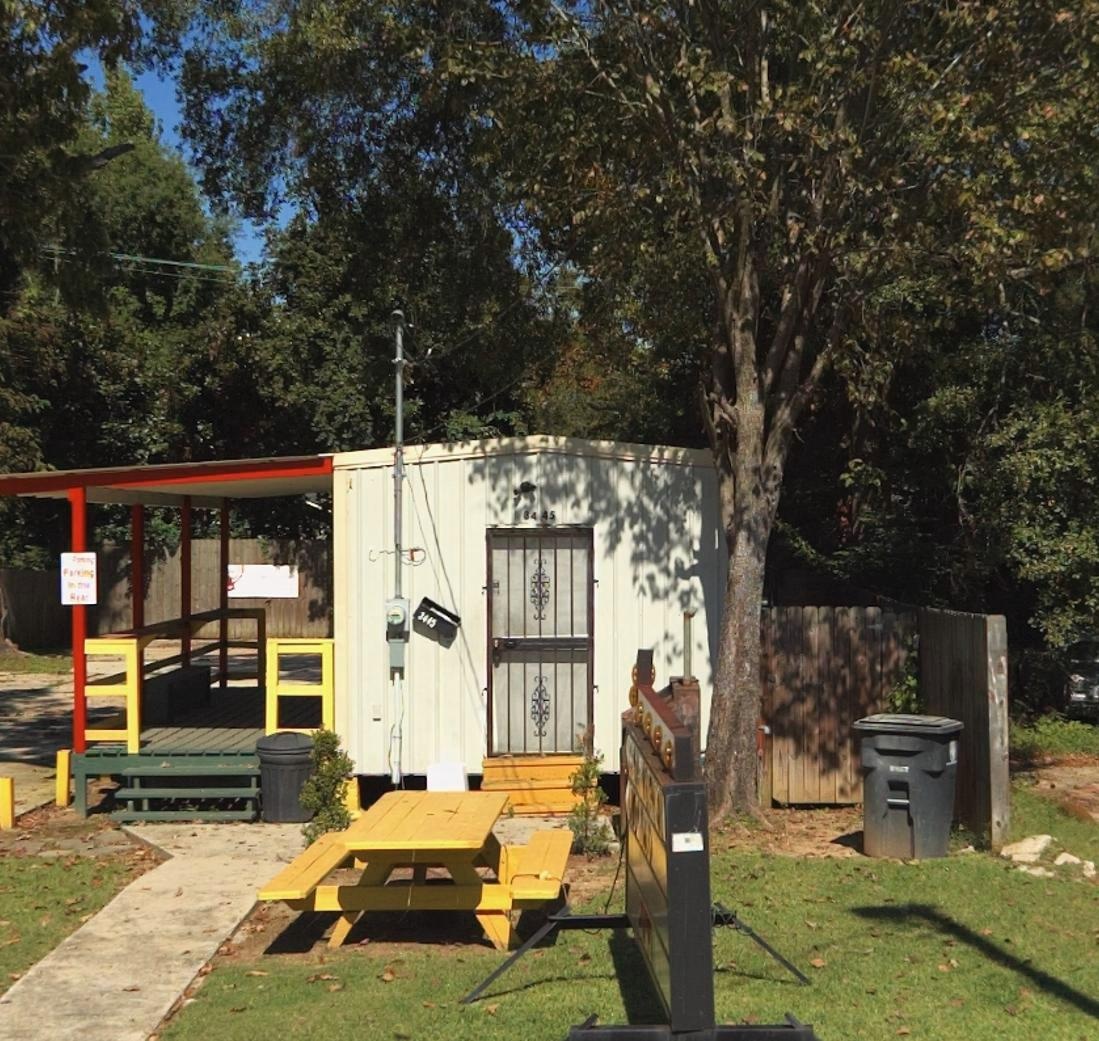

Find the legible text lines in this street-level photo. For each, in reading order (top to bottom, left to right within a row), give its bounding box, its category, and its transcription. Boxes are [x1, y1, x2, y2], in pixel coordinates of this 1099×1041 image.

[522, 510, 558, 521] StreetNumber: 3445
[415, 609, 440, 631] StreetNumber: 3445